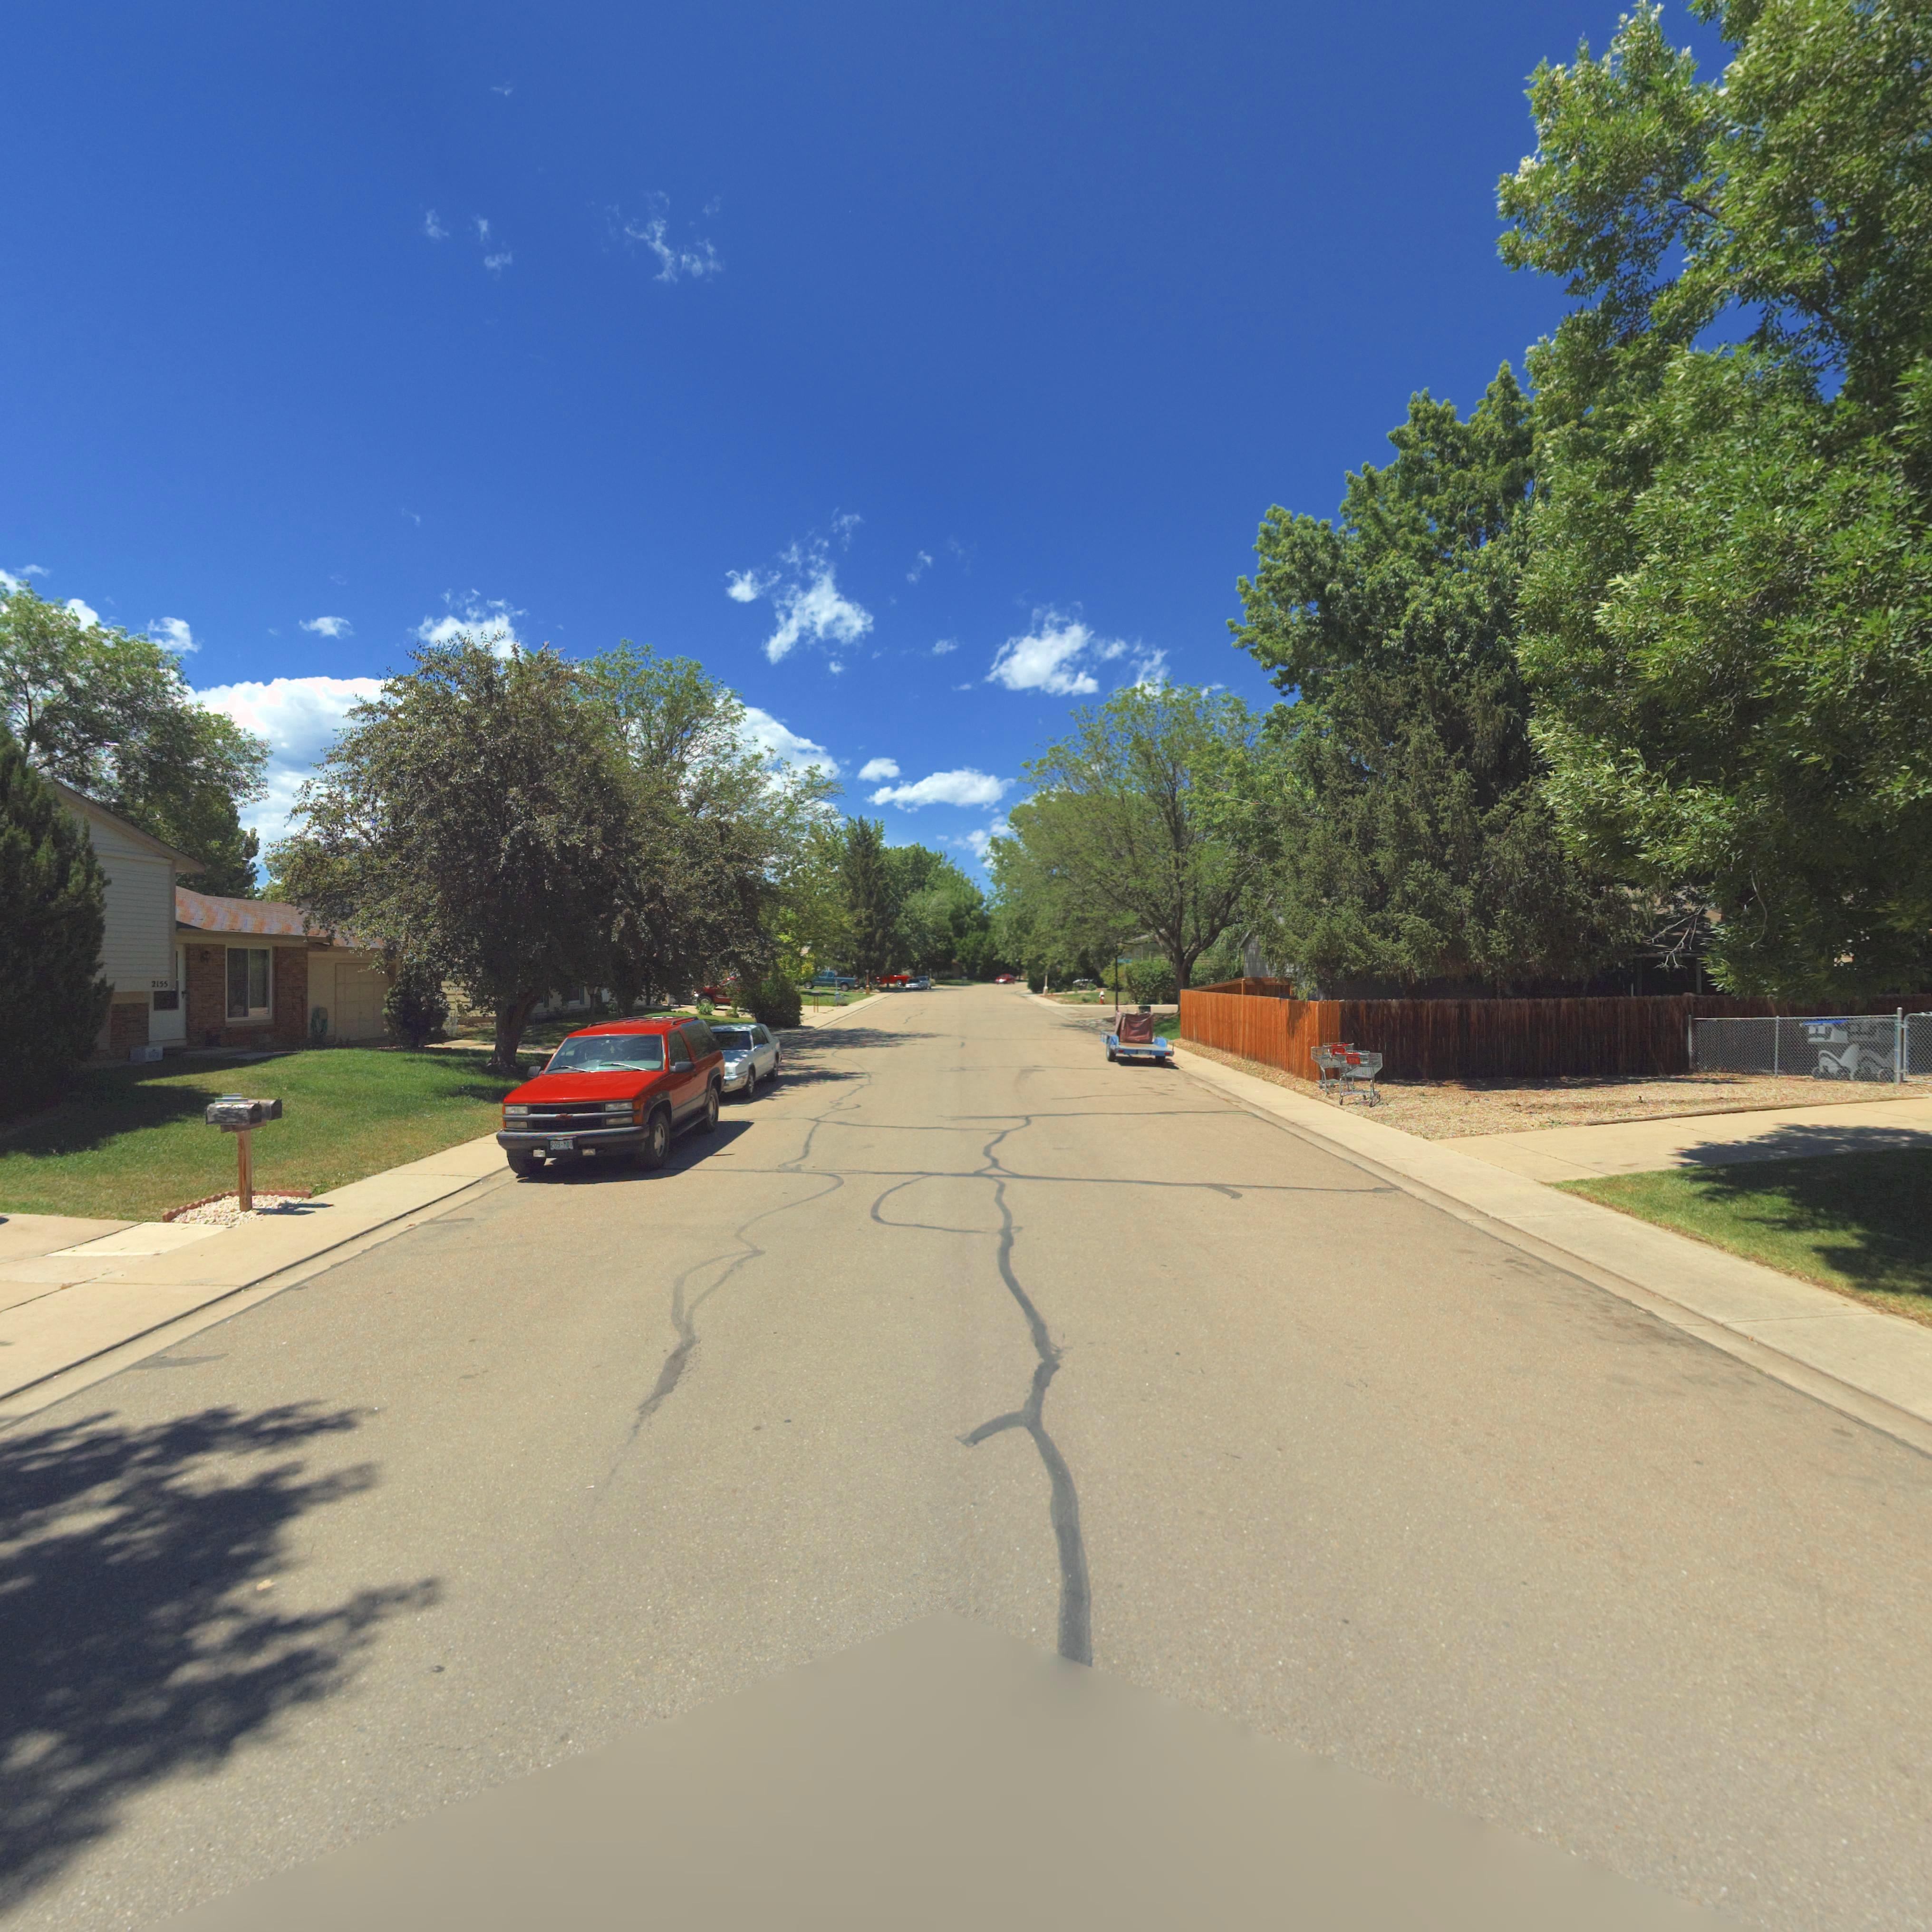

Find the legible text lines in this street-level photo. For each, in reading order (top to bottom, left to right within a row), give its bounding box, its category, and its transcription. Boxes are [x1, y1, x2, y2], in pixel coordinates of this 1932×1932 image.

[151, 980, 168, 987] StreetNumber: 2155